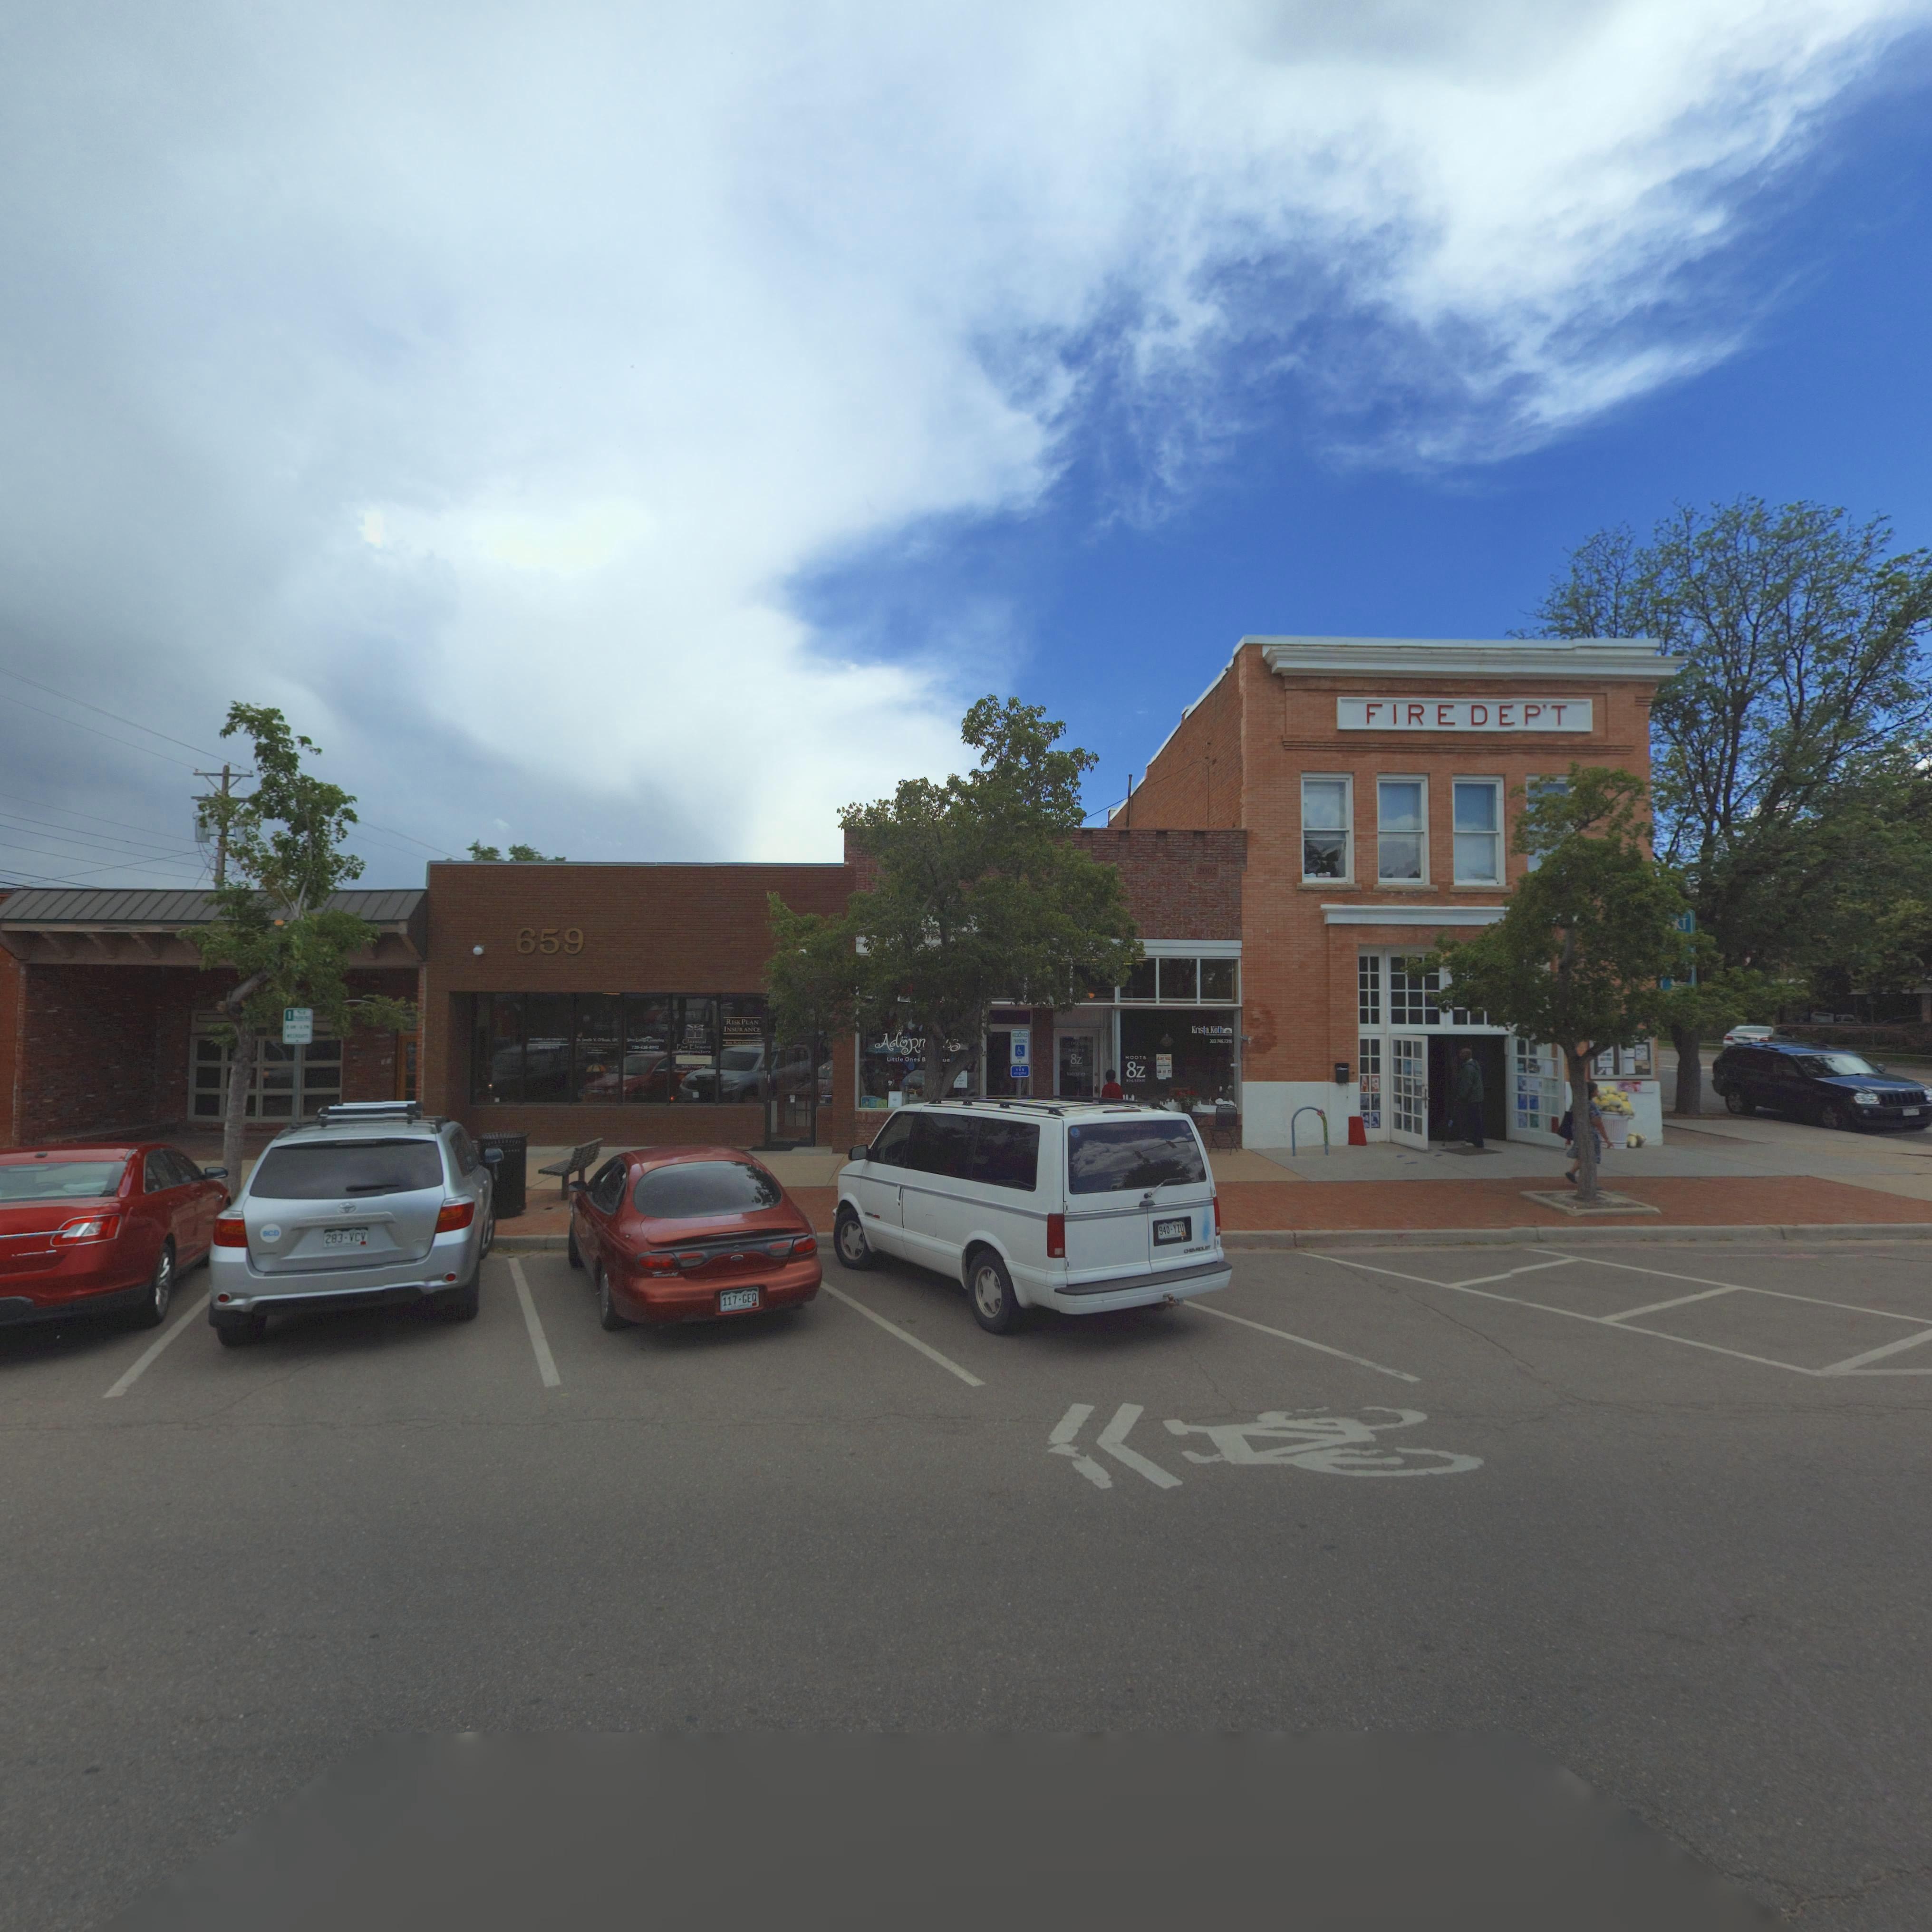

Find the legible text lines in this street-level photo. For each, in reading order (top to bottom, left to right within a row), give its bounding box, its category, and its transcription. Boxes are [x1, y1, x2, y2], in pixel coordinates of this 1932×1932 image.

[515, 927, 583, 954] StreetNumber: 659
[726, 1019, 758, 1025] BusinessName: RISK PLAN
[724, 1026, 760, 1031] BusinessName: INSURANCE
[874, 1031, 926, 1055] BusinessName: AdoRn
[887, 1056, 951, 1062] BusinessName: Little Ones B*****ue